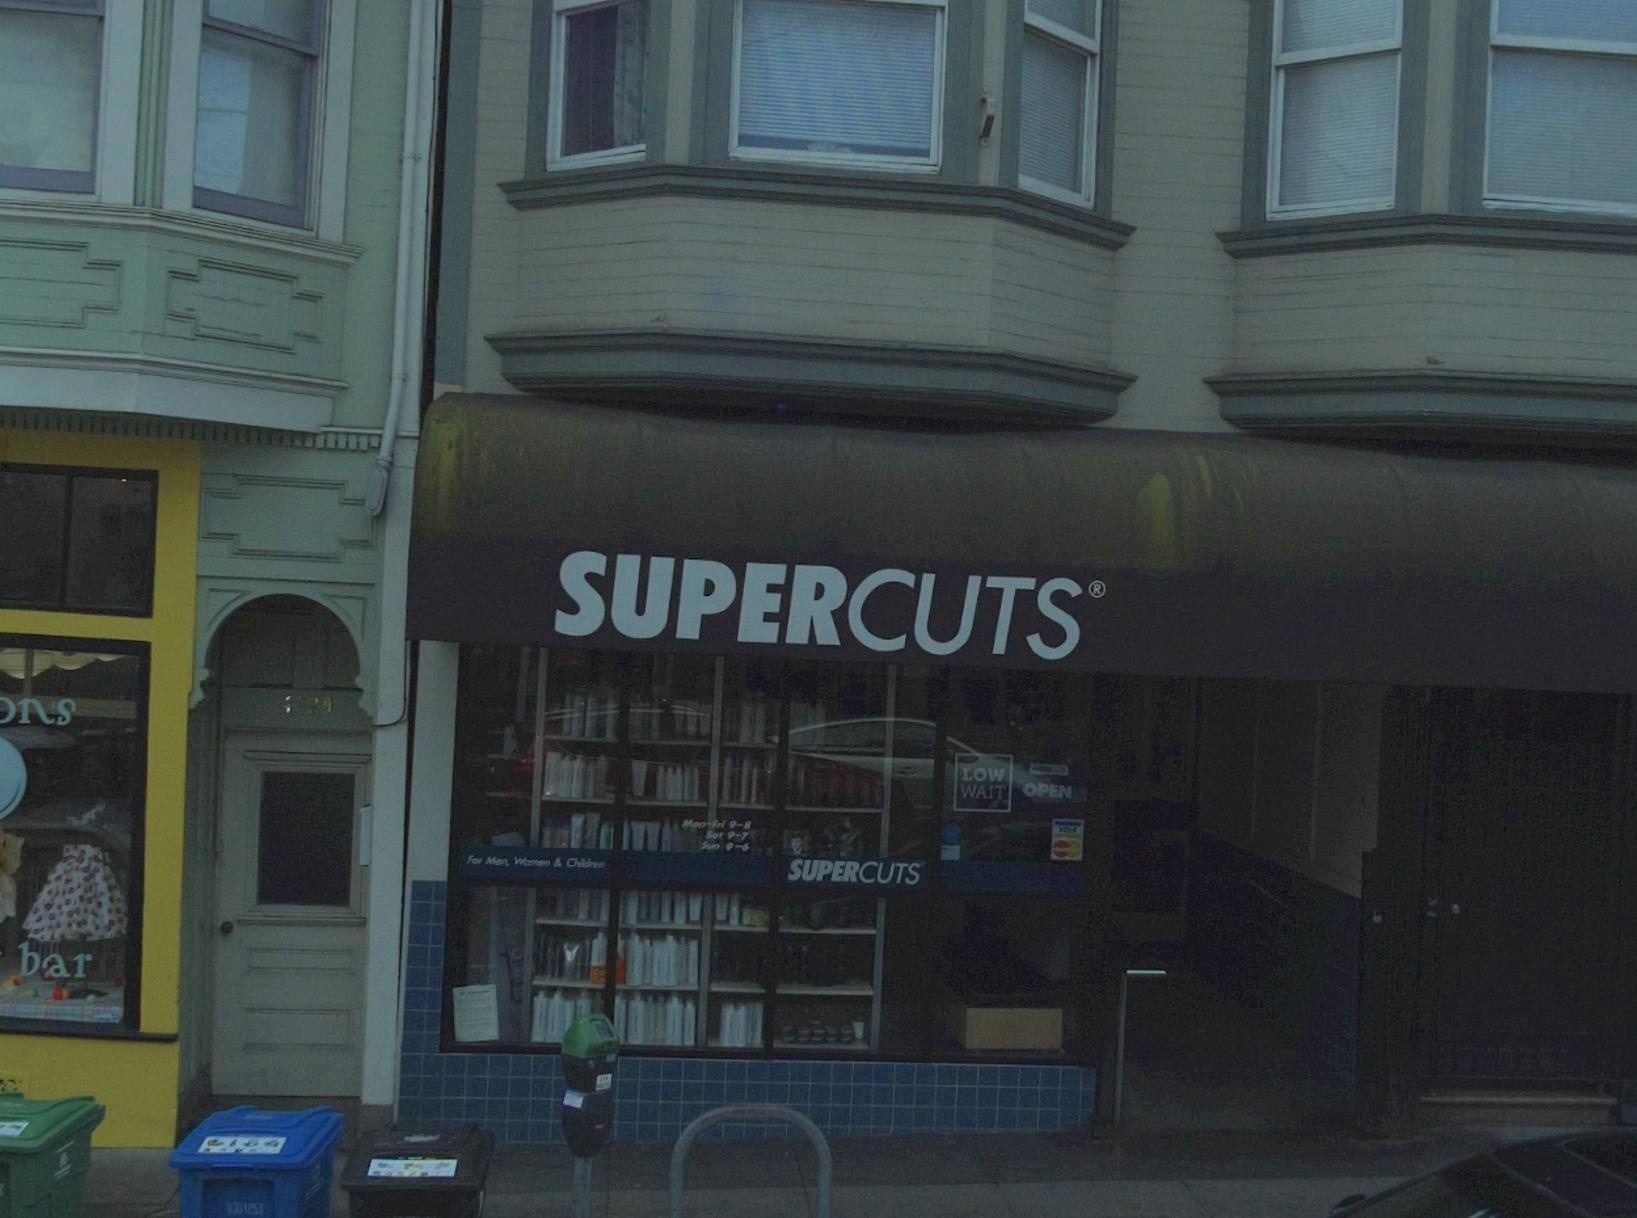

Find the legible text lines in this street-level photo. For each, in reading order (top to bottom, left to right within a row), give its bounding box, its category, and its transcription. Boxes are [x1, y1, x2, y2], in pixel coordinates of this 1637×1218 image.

[549, 548, 1085, 663] BusinessName: SUPERCUTS
[16, 696, 78, 726] None: ns
[276, 693, 334, 718] StreetNumber: 4**9
[961, 766, 1007, 782] None: LOW
[959, 783, 1008, 800] None: WAIT
[1022, 781, 1074, 800] None: OPEN
[680, 817, 752, 831] None: Mon-Fri 9-8
[704, 828, 751, 841] None: Sat 9-7
[699, 840, 751, 853] None: Sun 9-6
[466, 852, 606, 871] None: For Men, Women & Children
[787, 857, 922, 886] BusinessName: SUPERCUTS
[15, 939, 95, 979] None: bar